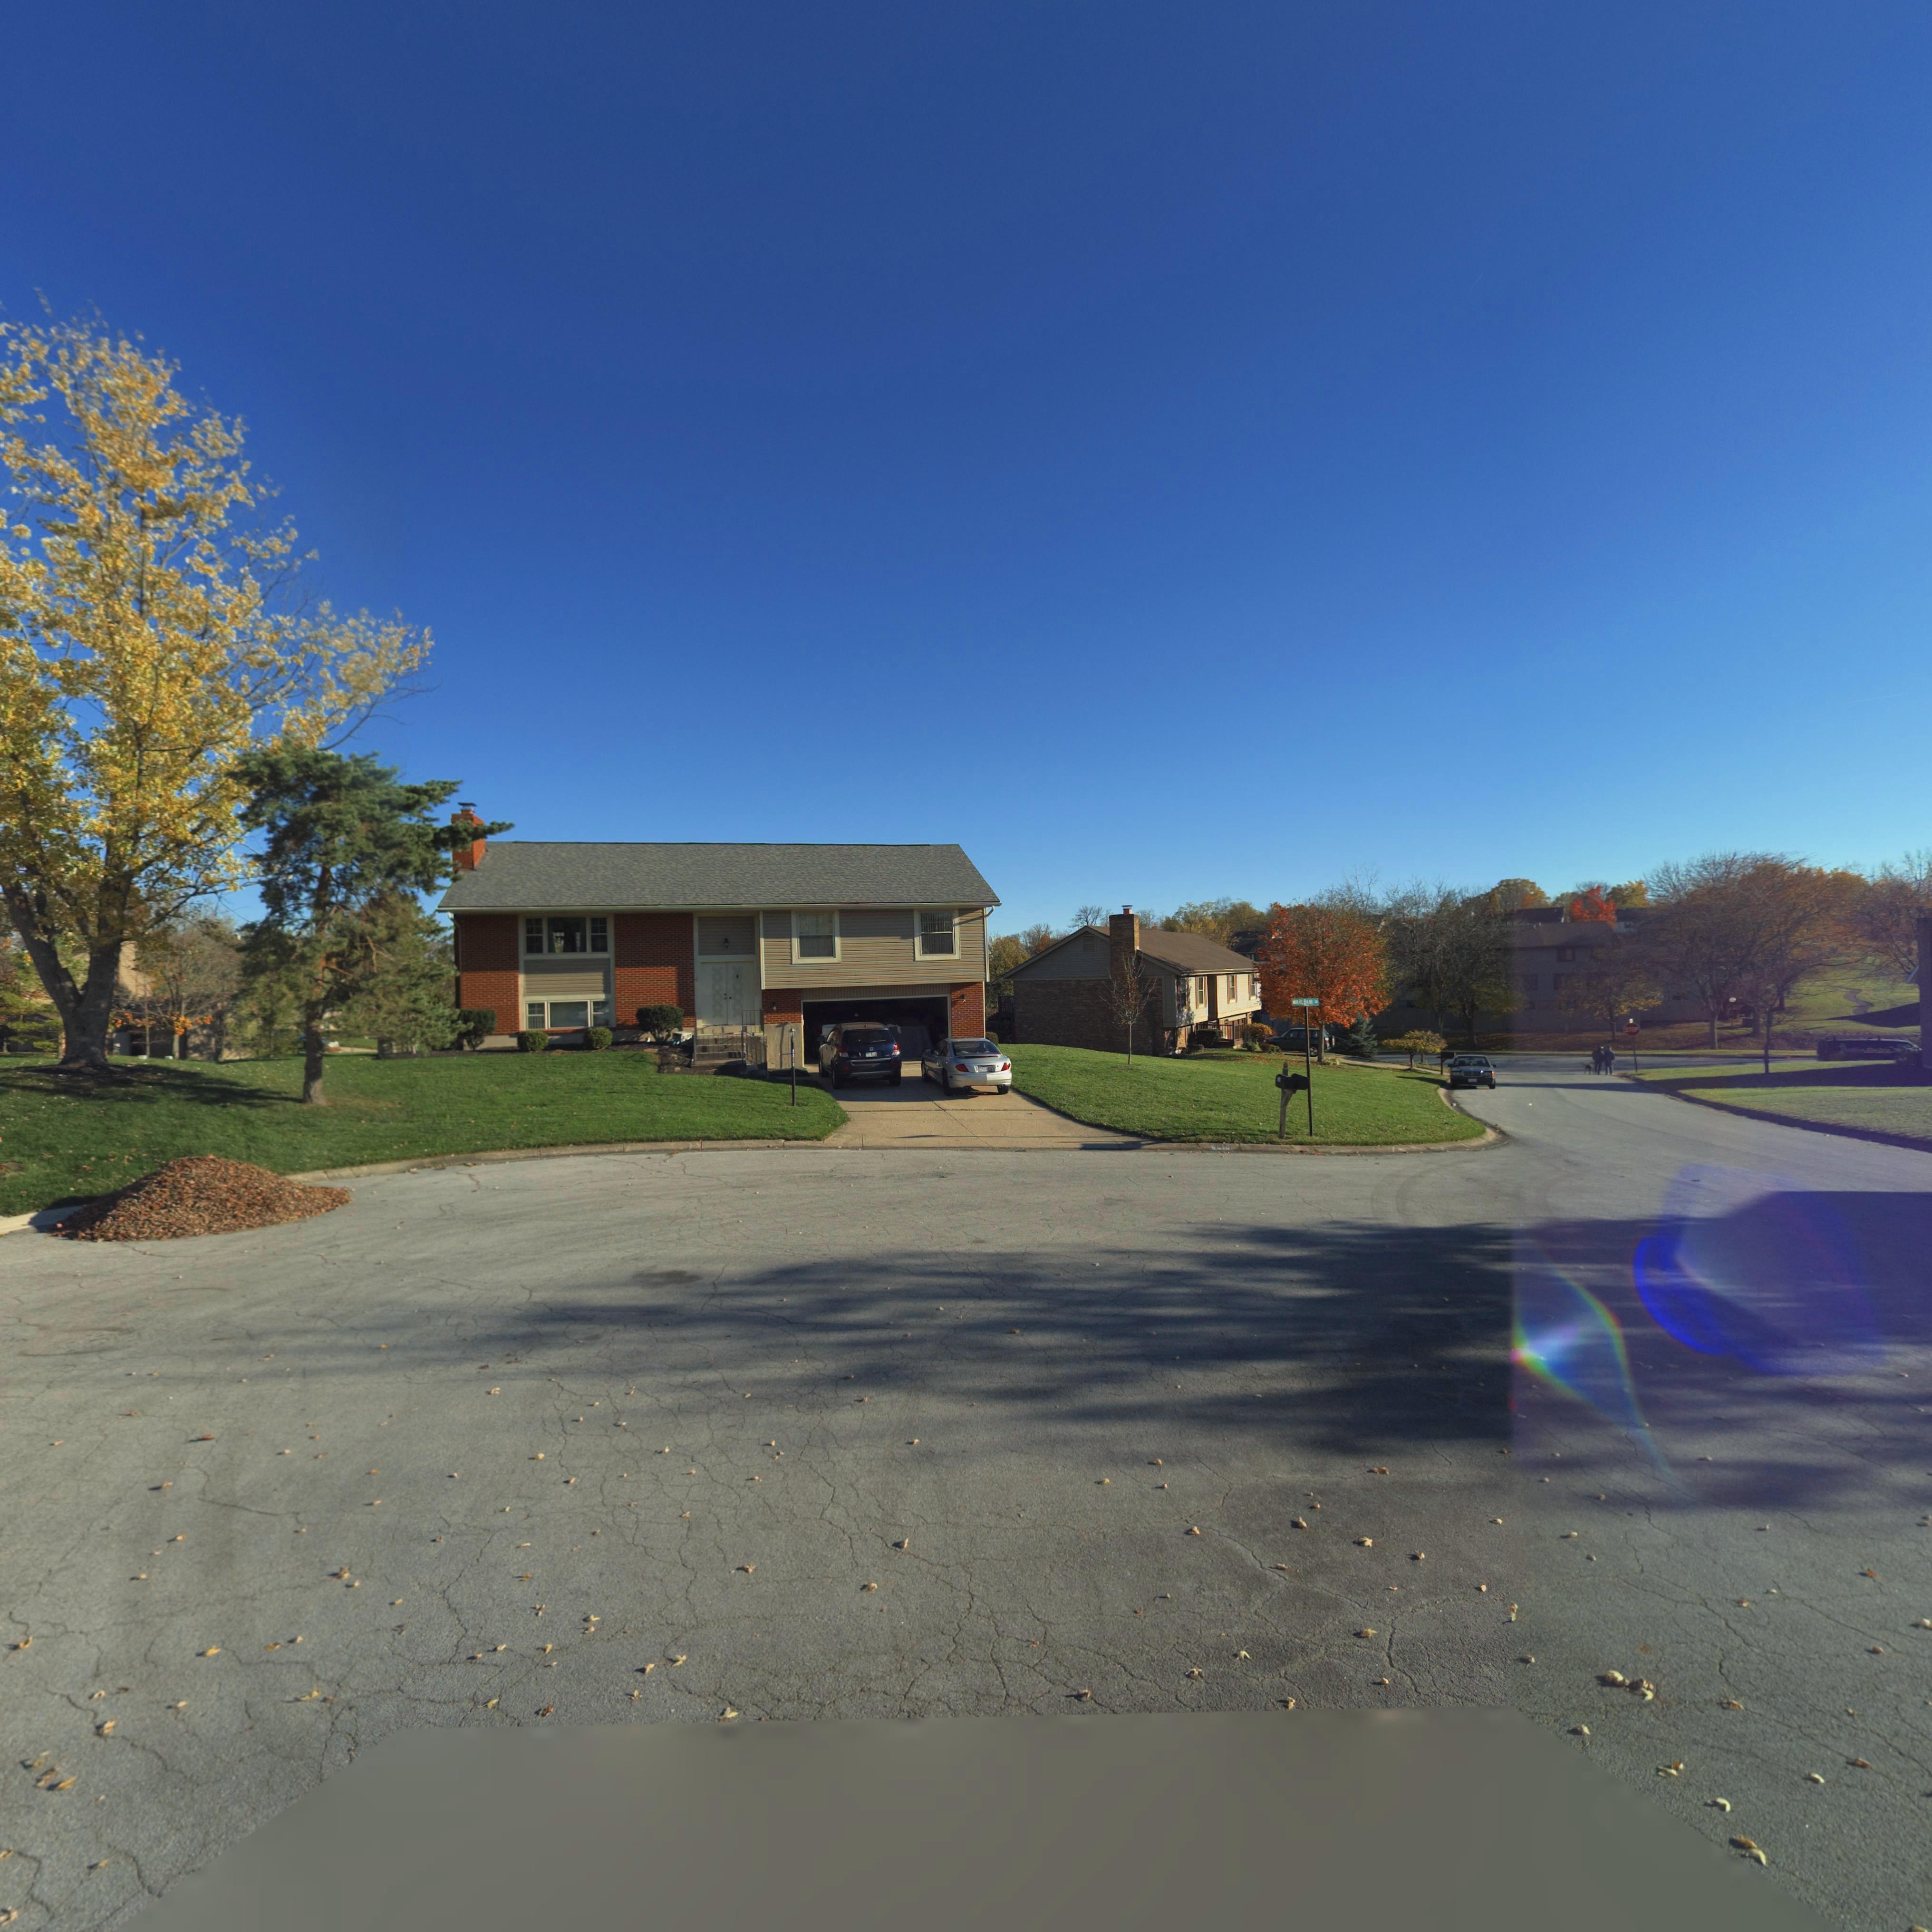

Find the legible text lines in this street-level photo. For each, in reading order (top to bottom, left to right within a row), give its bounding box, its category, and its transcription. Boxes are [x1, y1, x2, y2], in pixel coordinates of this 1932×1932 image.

[1209, 1144, 1231, 1151] StreetNumber: **10